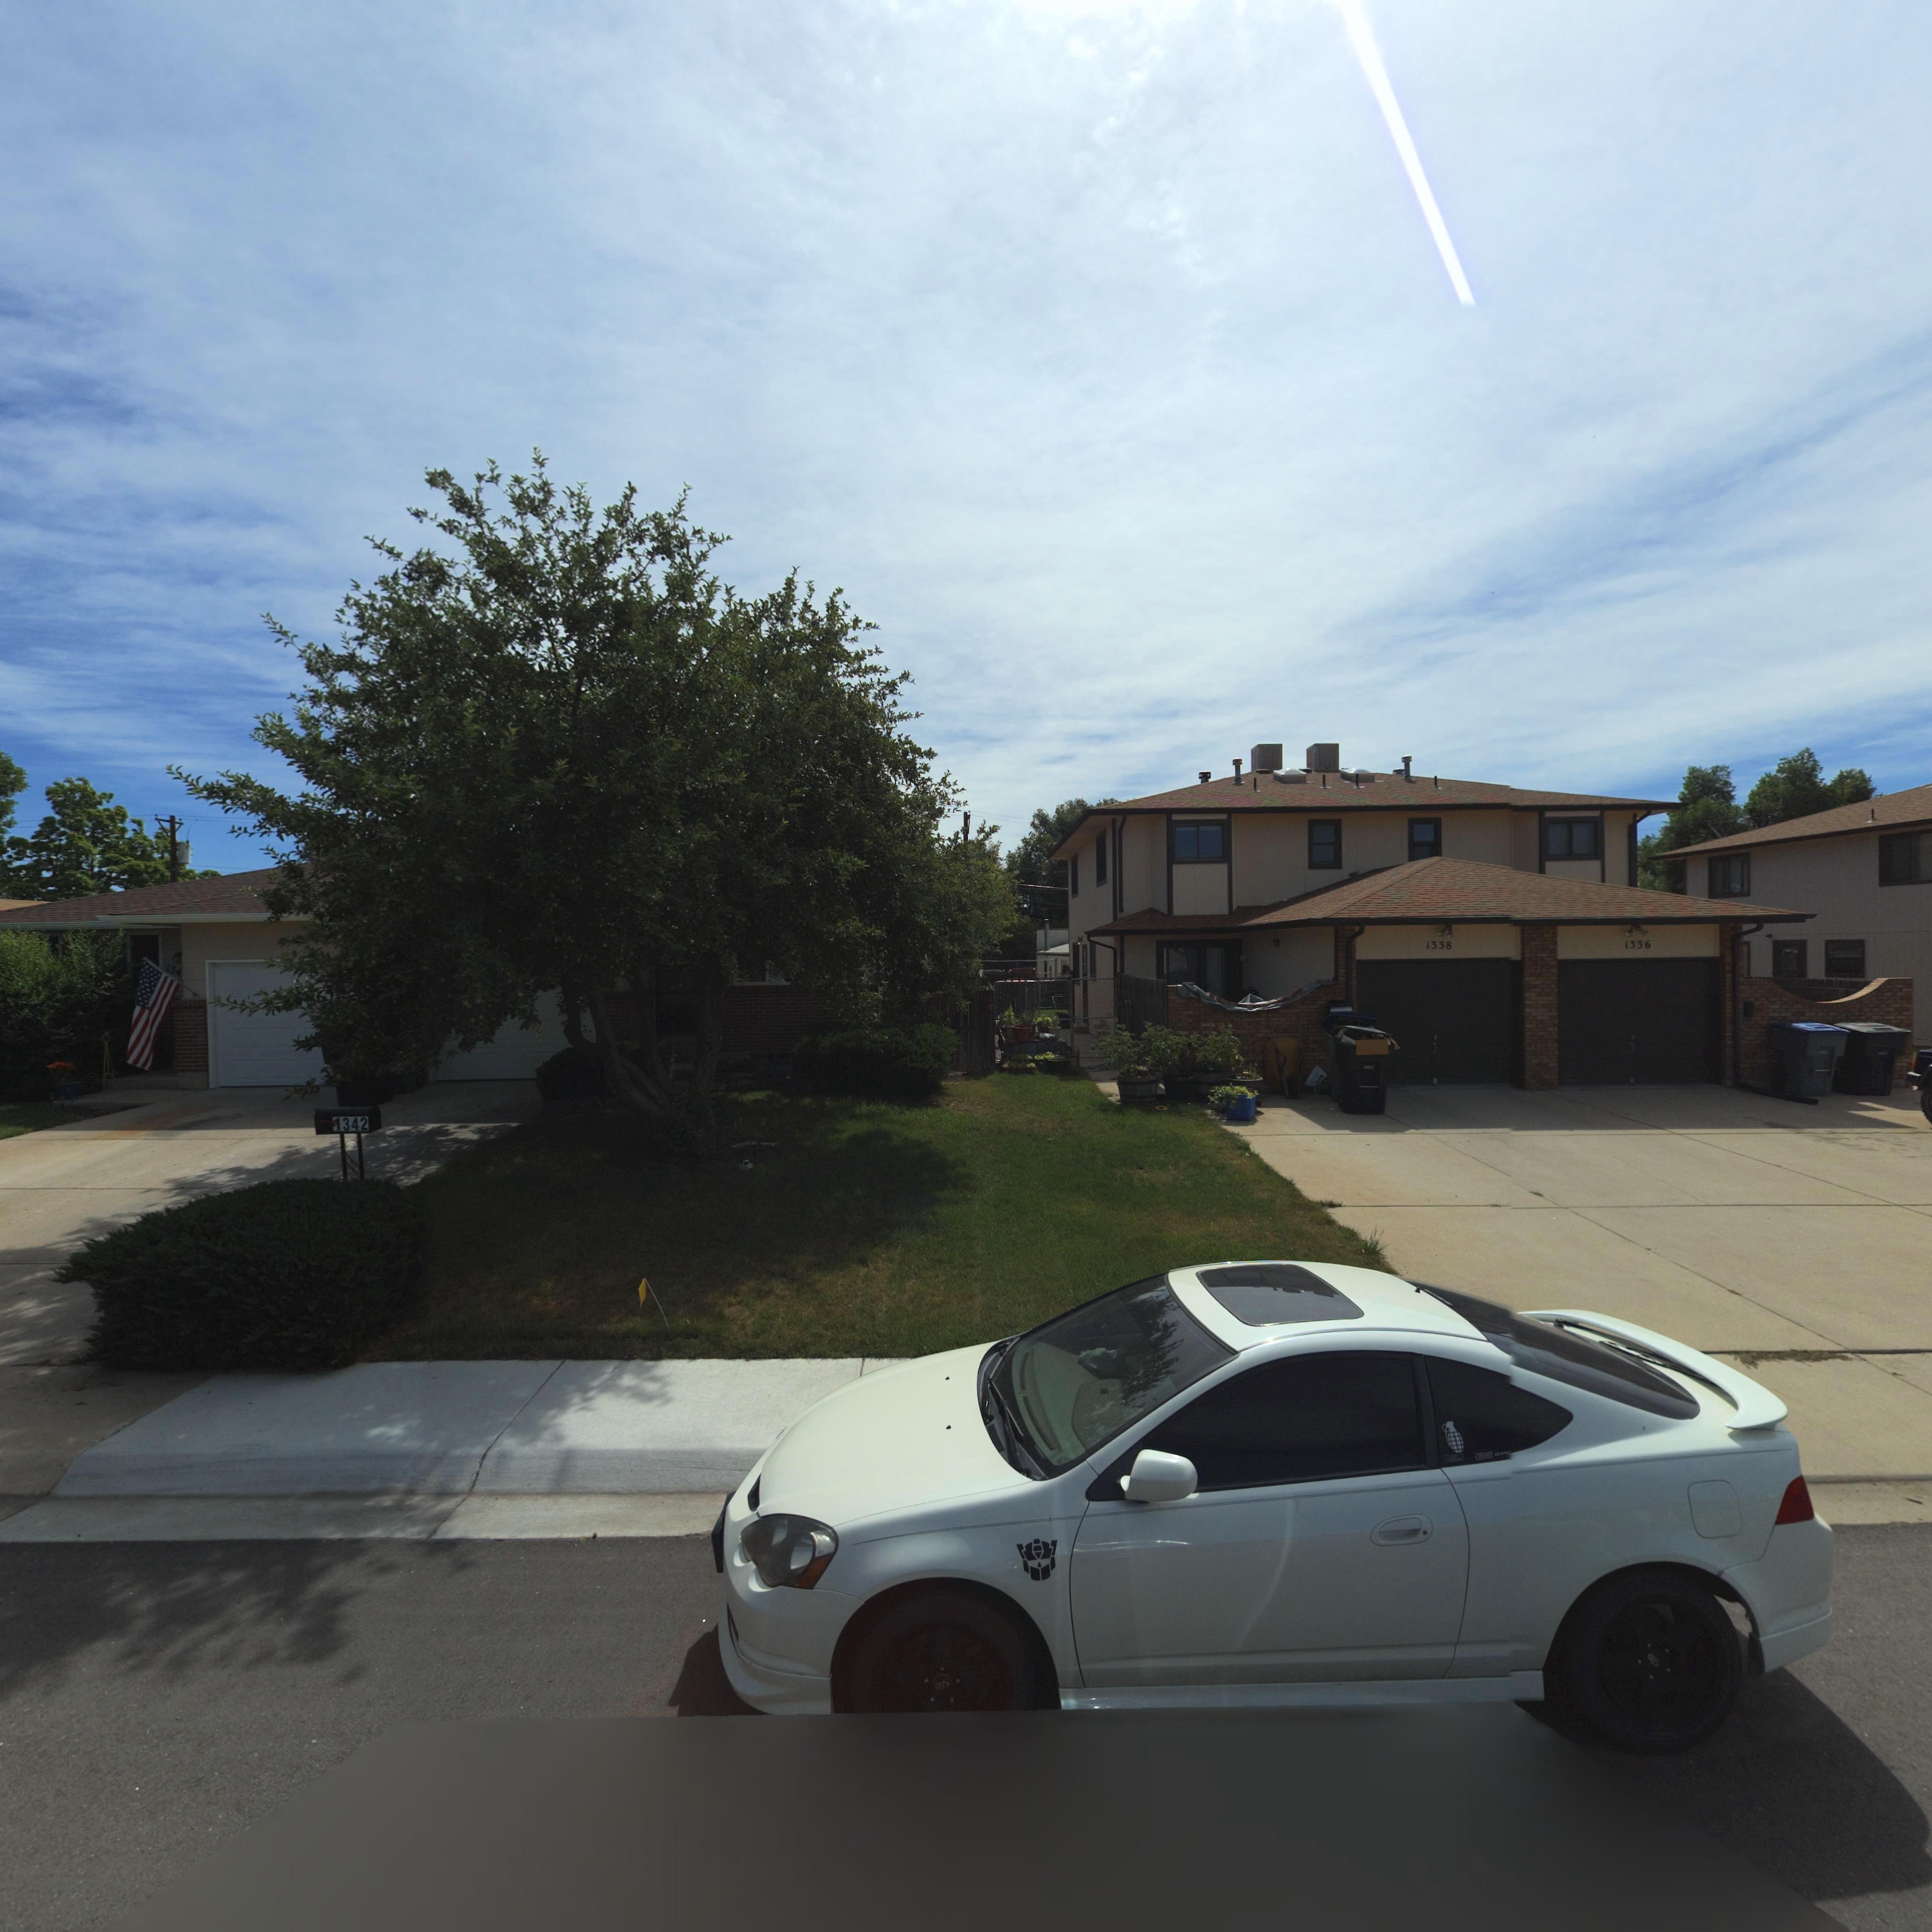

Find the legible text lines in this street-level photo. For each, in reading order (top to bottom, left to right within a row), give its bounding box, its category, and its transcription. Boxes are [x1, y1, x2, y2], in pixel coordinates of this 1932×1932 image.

[1425, 940, 1452, 950] StreetNumber: 1338
[1624, 940, 1651, 950] StreetNumber: 1336
[165, 963, 188, 980] StreetNumber: 134*
[334, 1116, 368, 1131] StreetNumber: 1342